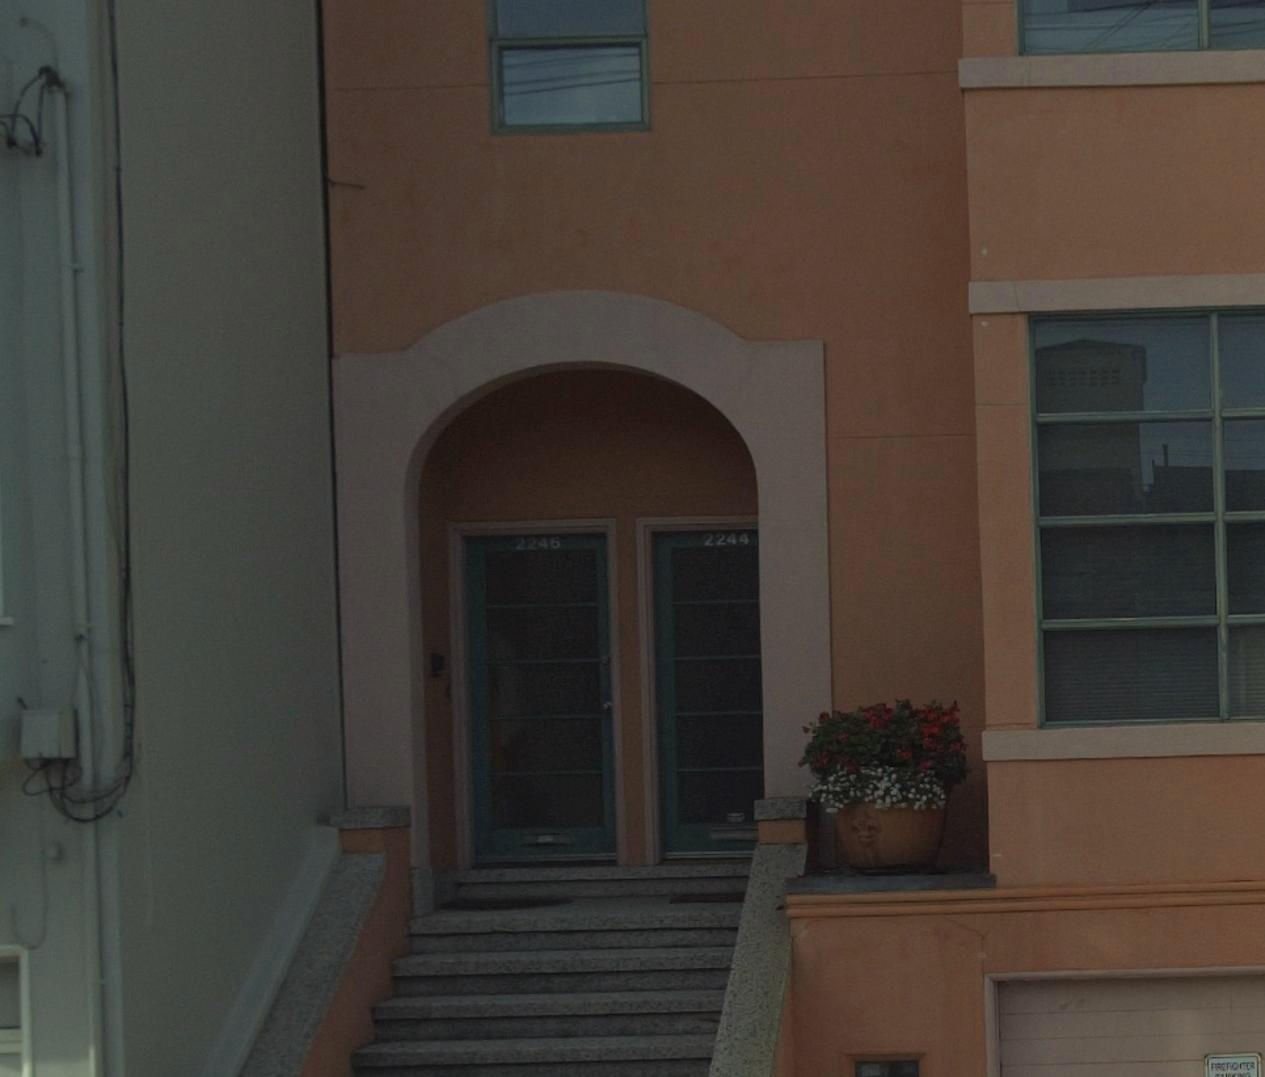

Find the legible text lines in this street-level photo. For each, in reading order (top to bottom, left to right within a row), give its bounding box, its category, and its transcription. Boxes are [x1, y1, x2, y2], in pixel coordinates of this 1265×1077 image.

[512, 534, 563, 552] StreetNumber: 2246
[701, 529, 752, 548] StreetNumber: 2244